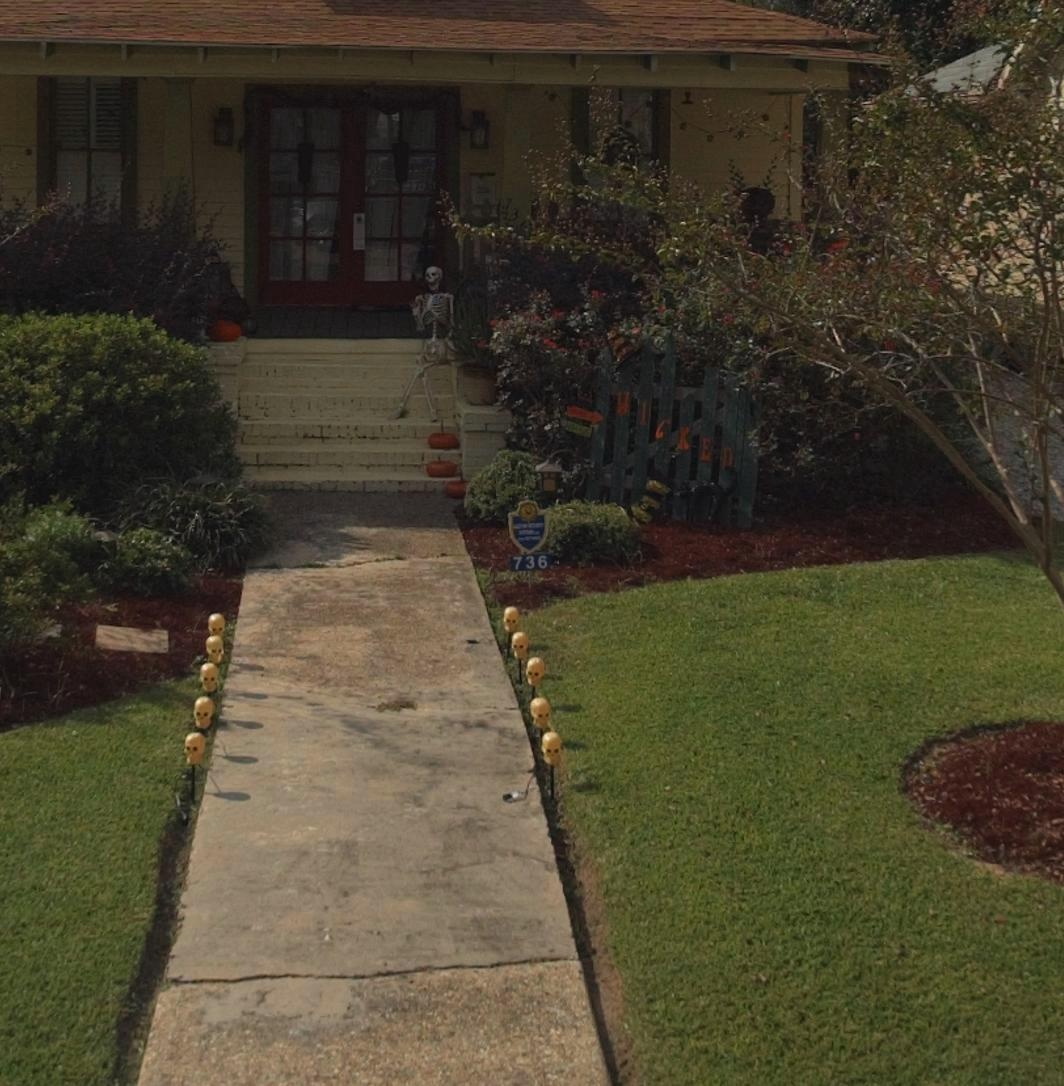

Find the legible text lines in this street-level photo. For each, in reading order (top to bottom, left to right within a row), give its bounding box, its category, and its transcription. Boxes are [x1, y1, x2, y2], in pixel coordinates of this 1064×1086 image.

[612, 384, 735, 477] None: WICKED
[511, 553, 550, 572] StreetNumber: 736